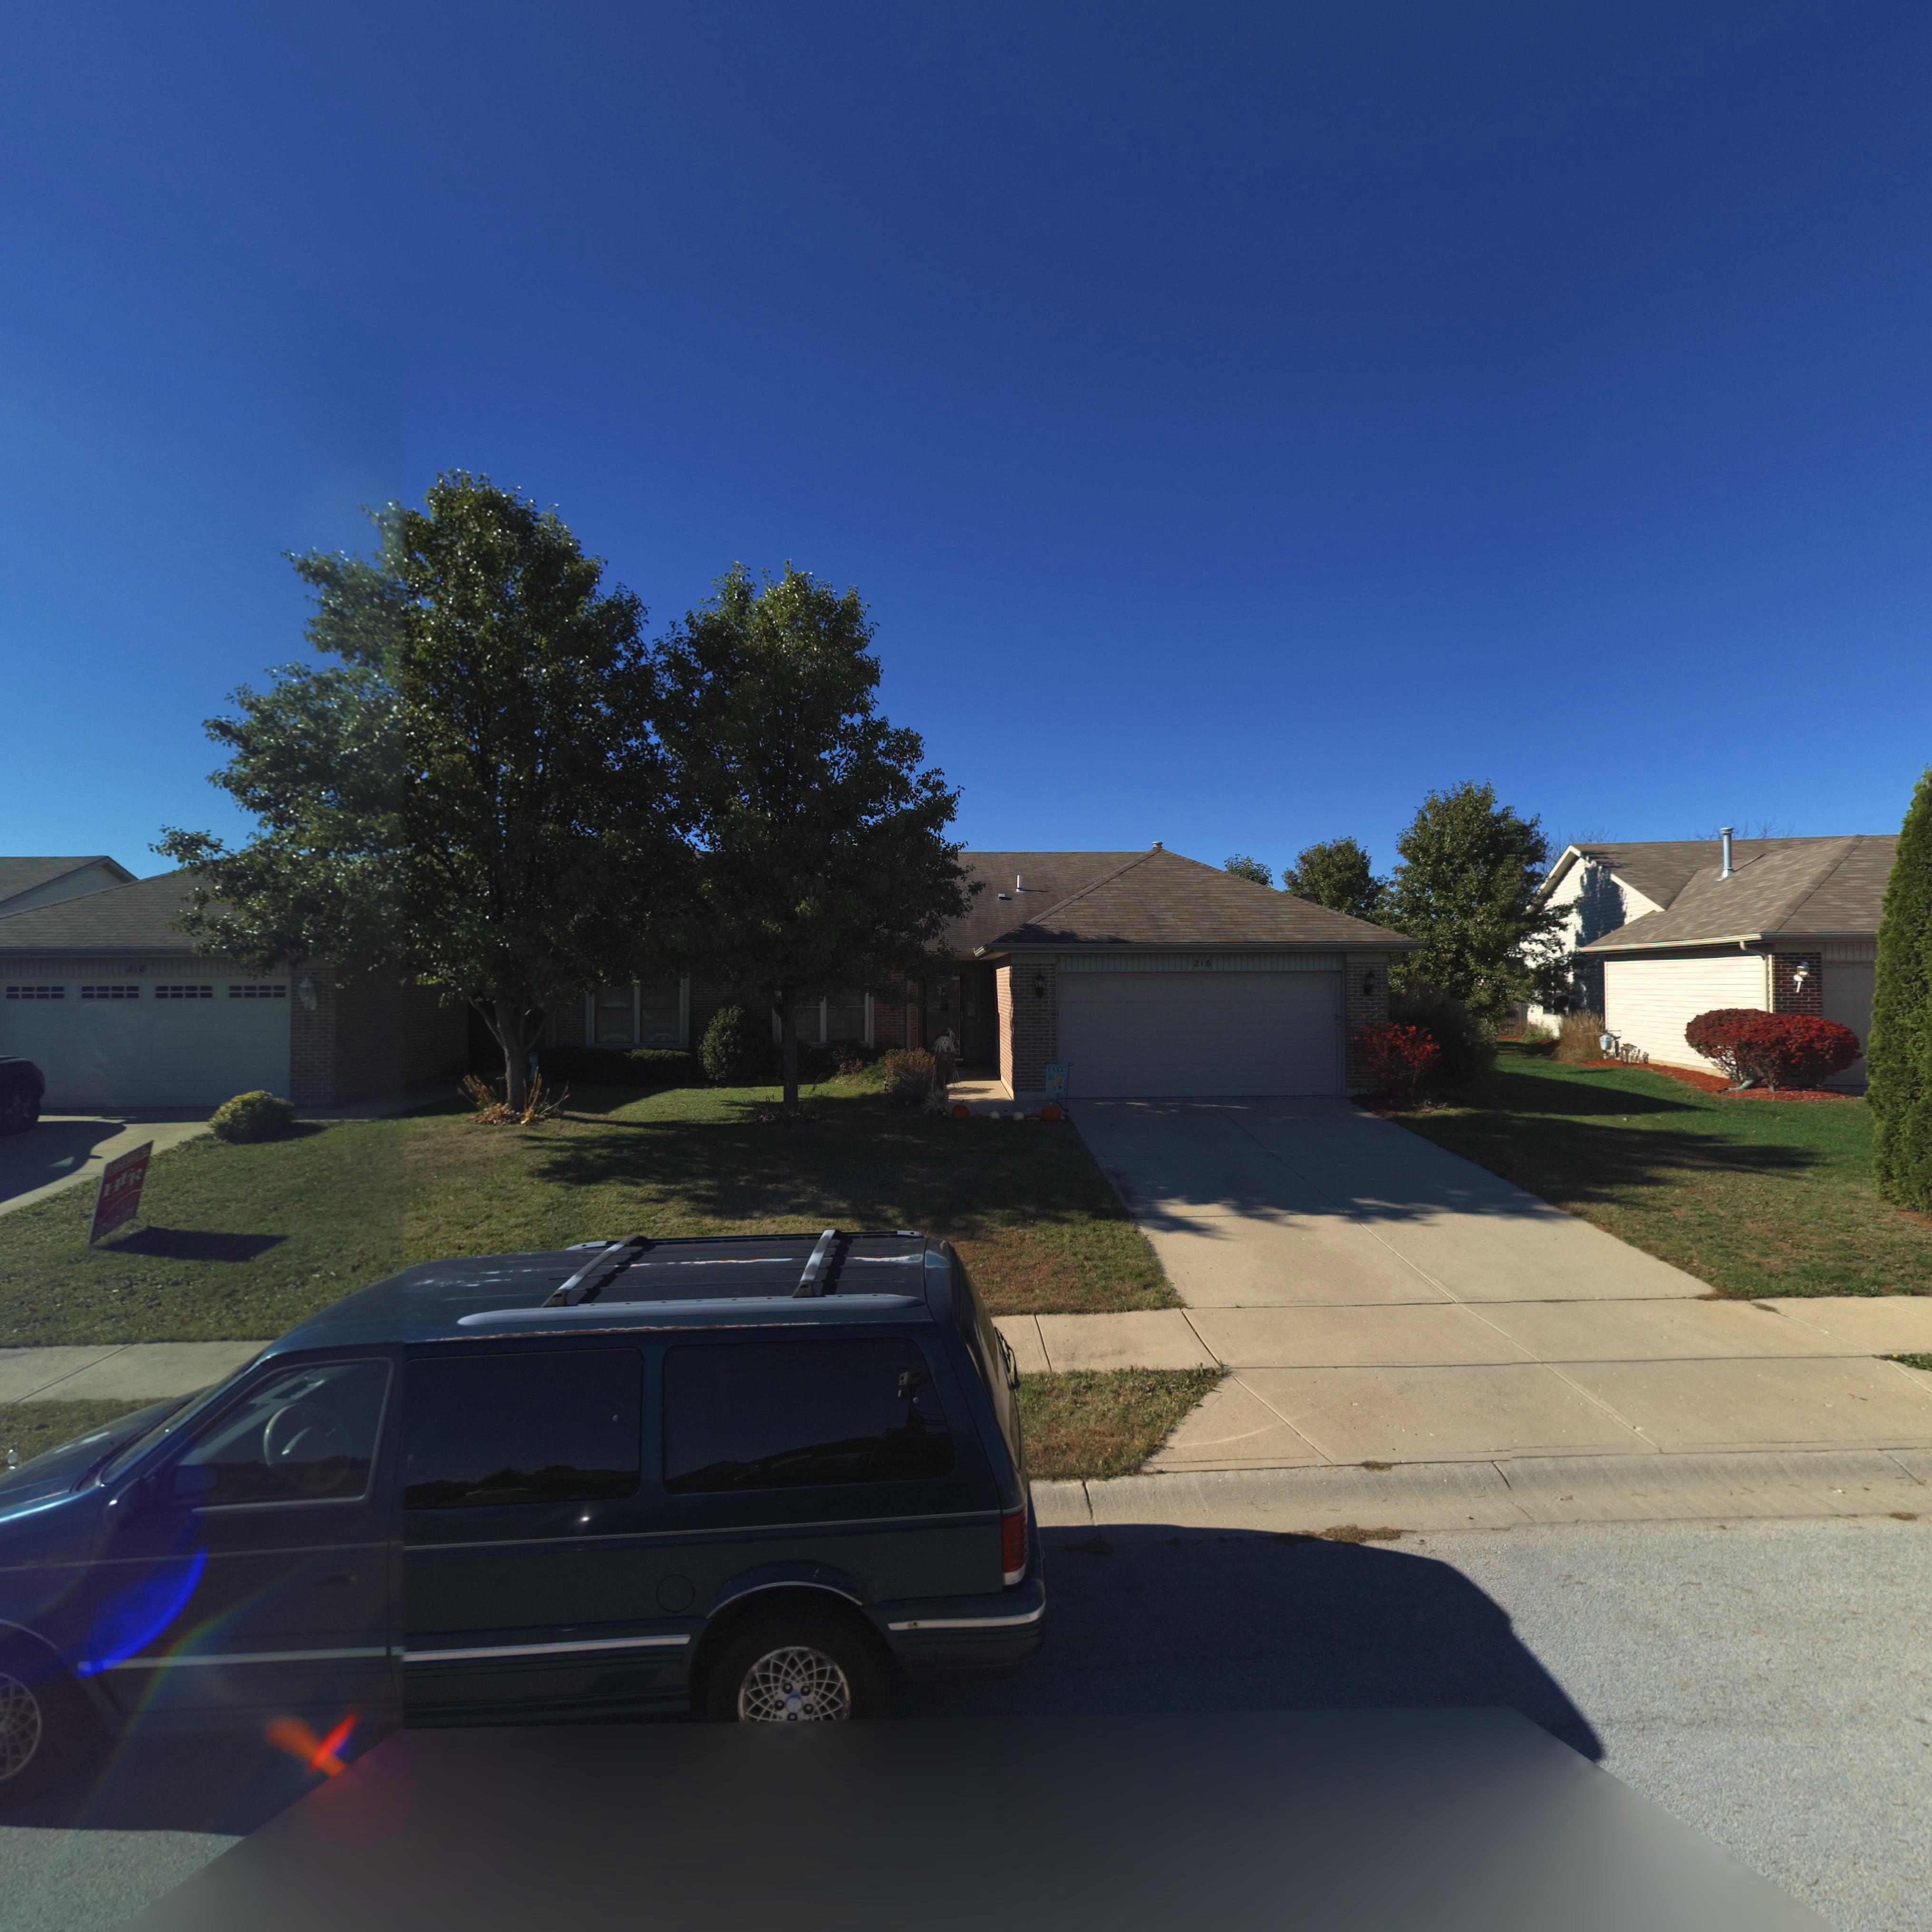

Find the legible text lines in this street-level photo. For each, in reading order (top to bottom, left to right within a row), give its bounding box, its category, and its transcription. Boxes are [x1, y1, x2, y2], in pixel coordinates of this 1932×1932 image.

[1193, 958, 1210, 967] StreetNumber: 216
[126, 964, 147, 972] StreetNumber: 218